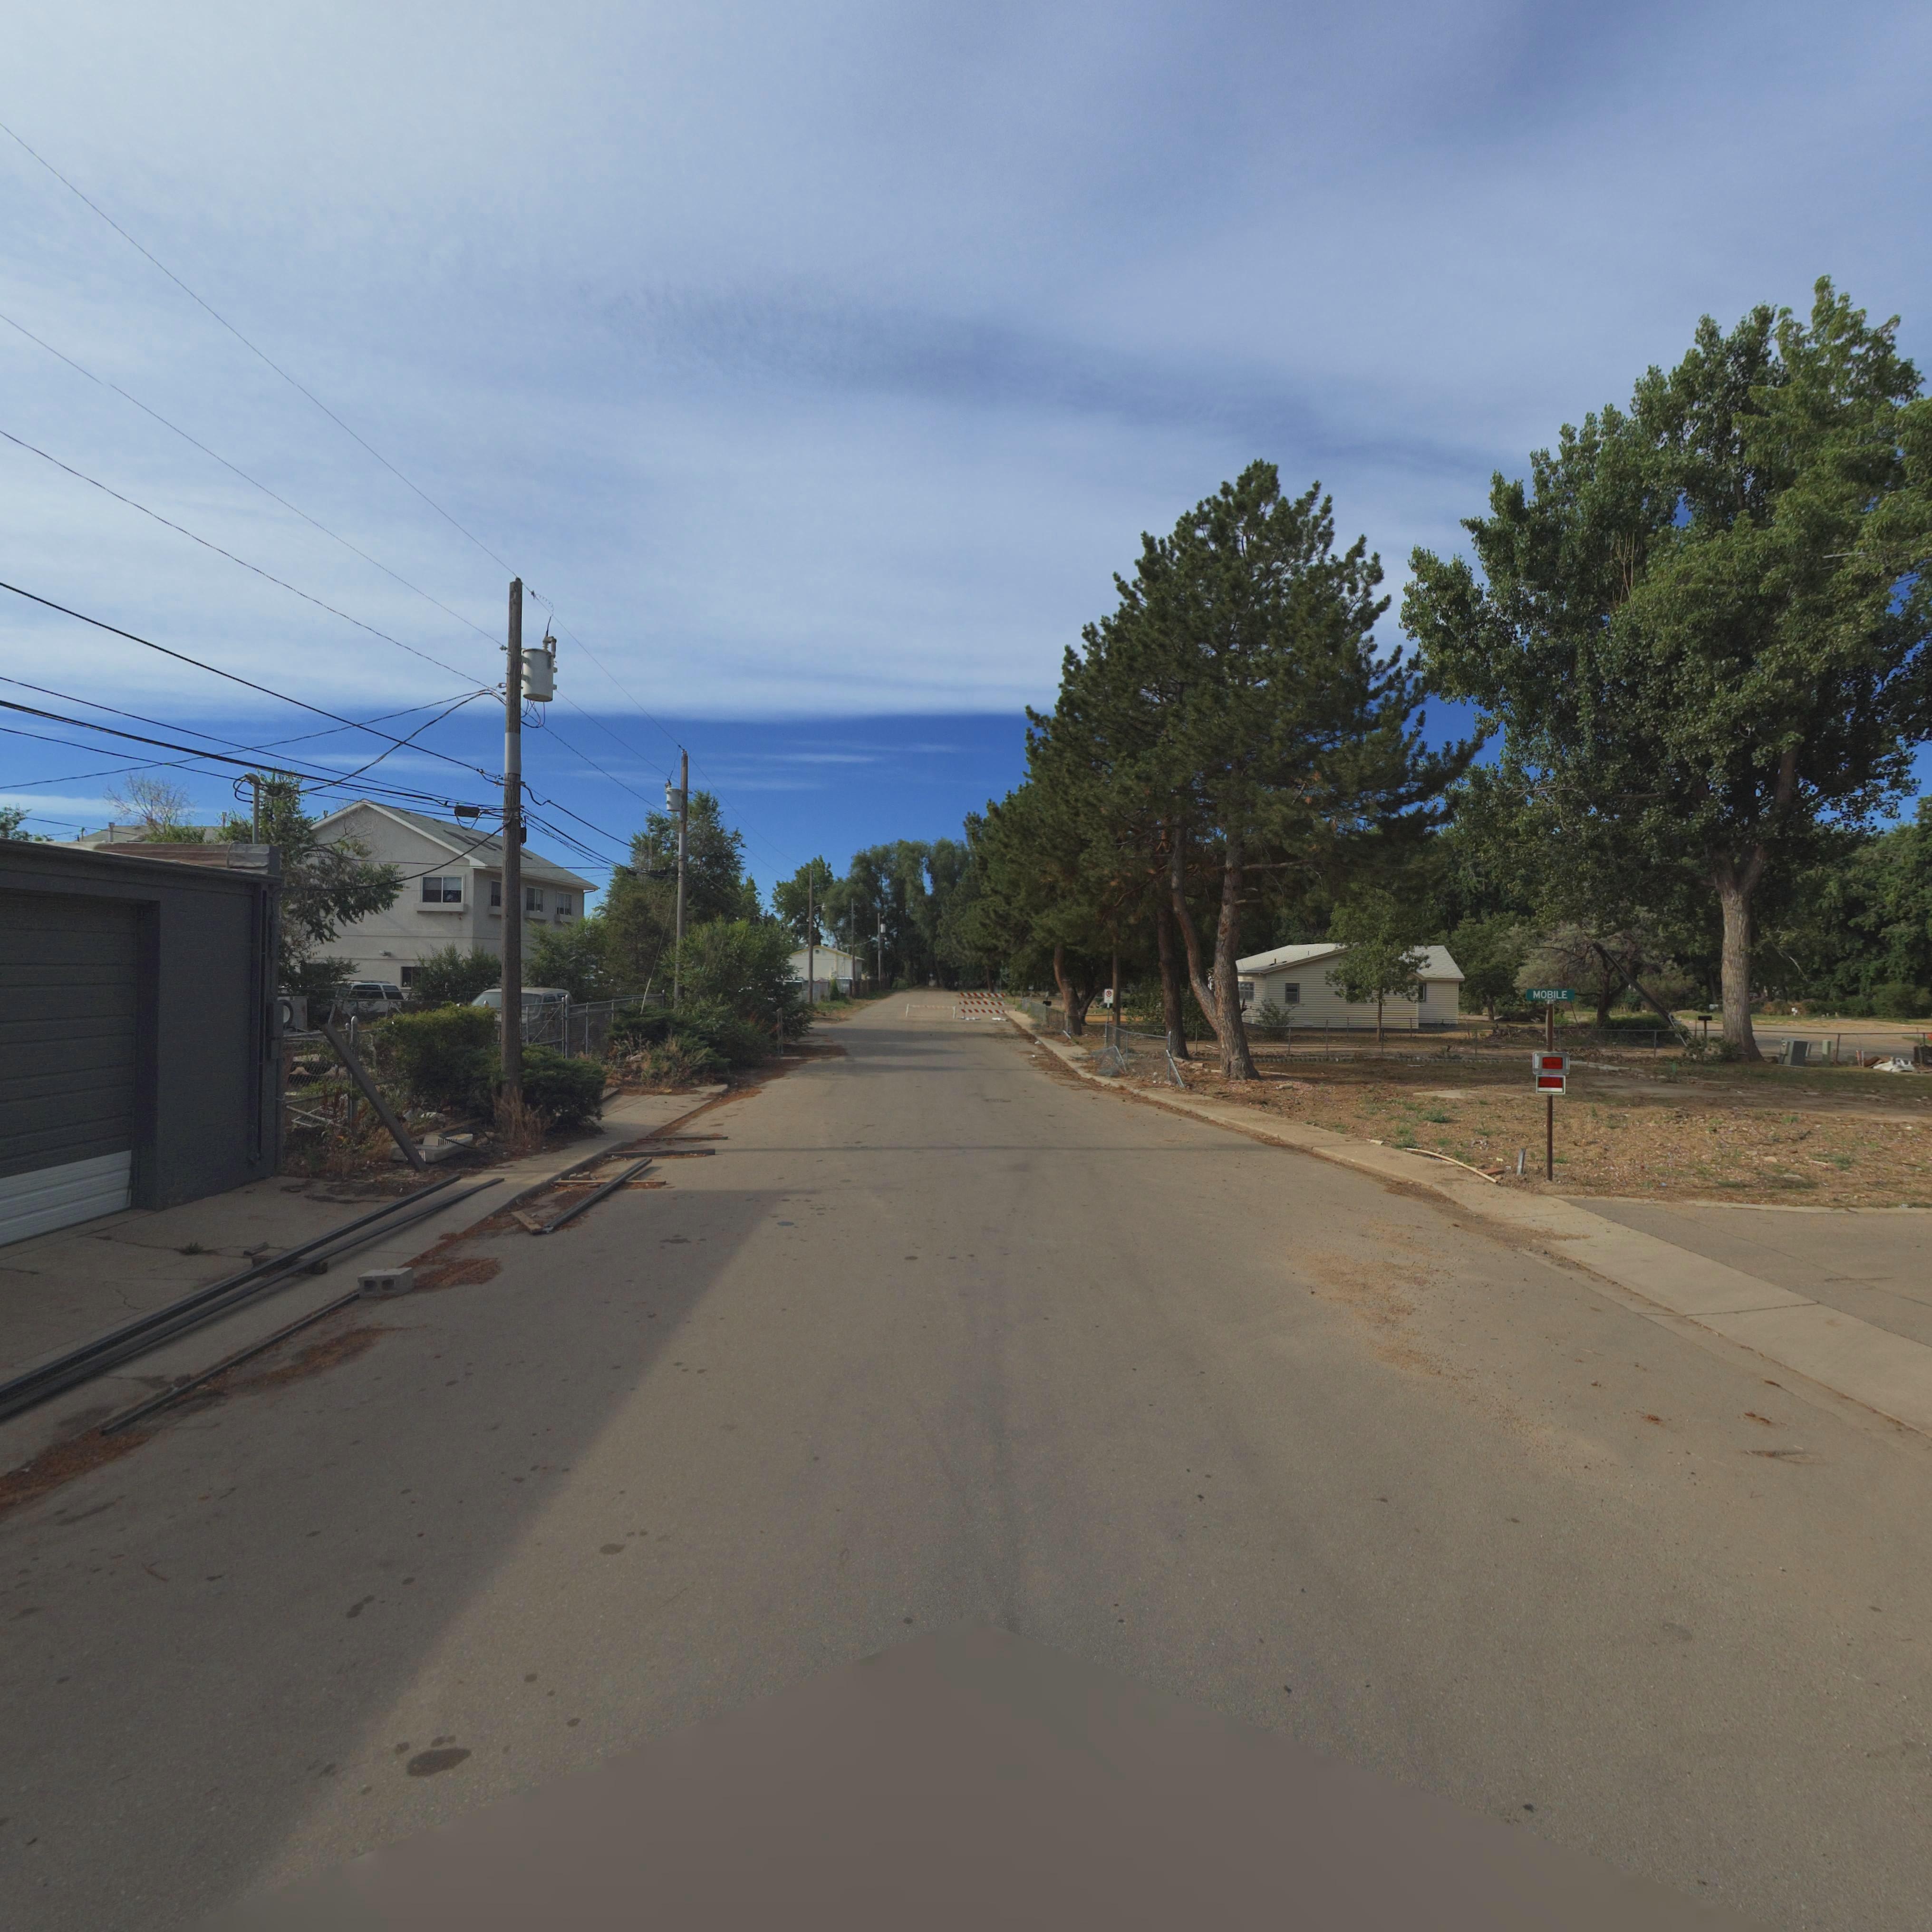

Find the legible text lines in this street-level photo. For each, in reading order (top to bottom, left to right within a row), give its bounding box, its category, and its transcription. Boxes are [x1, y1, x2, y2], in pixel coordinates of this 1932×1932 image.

[1532, 990, 1568, 999] StreetName: MOBILE